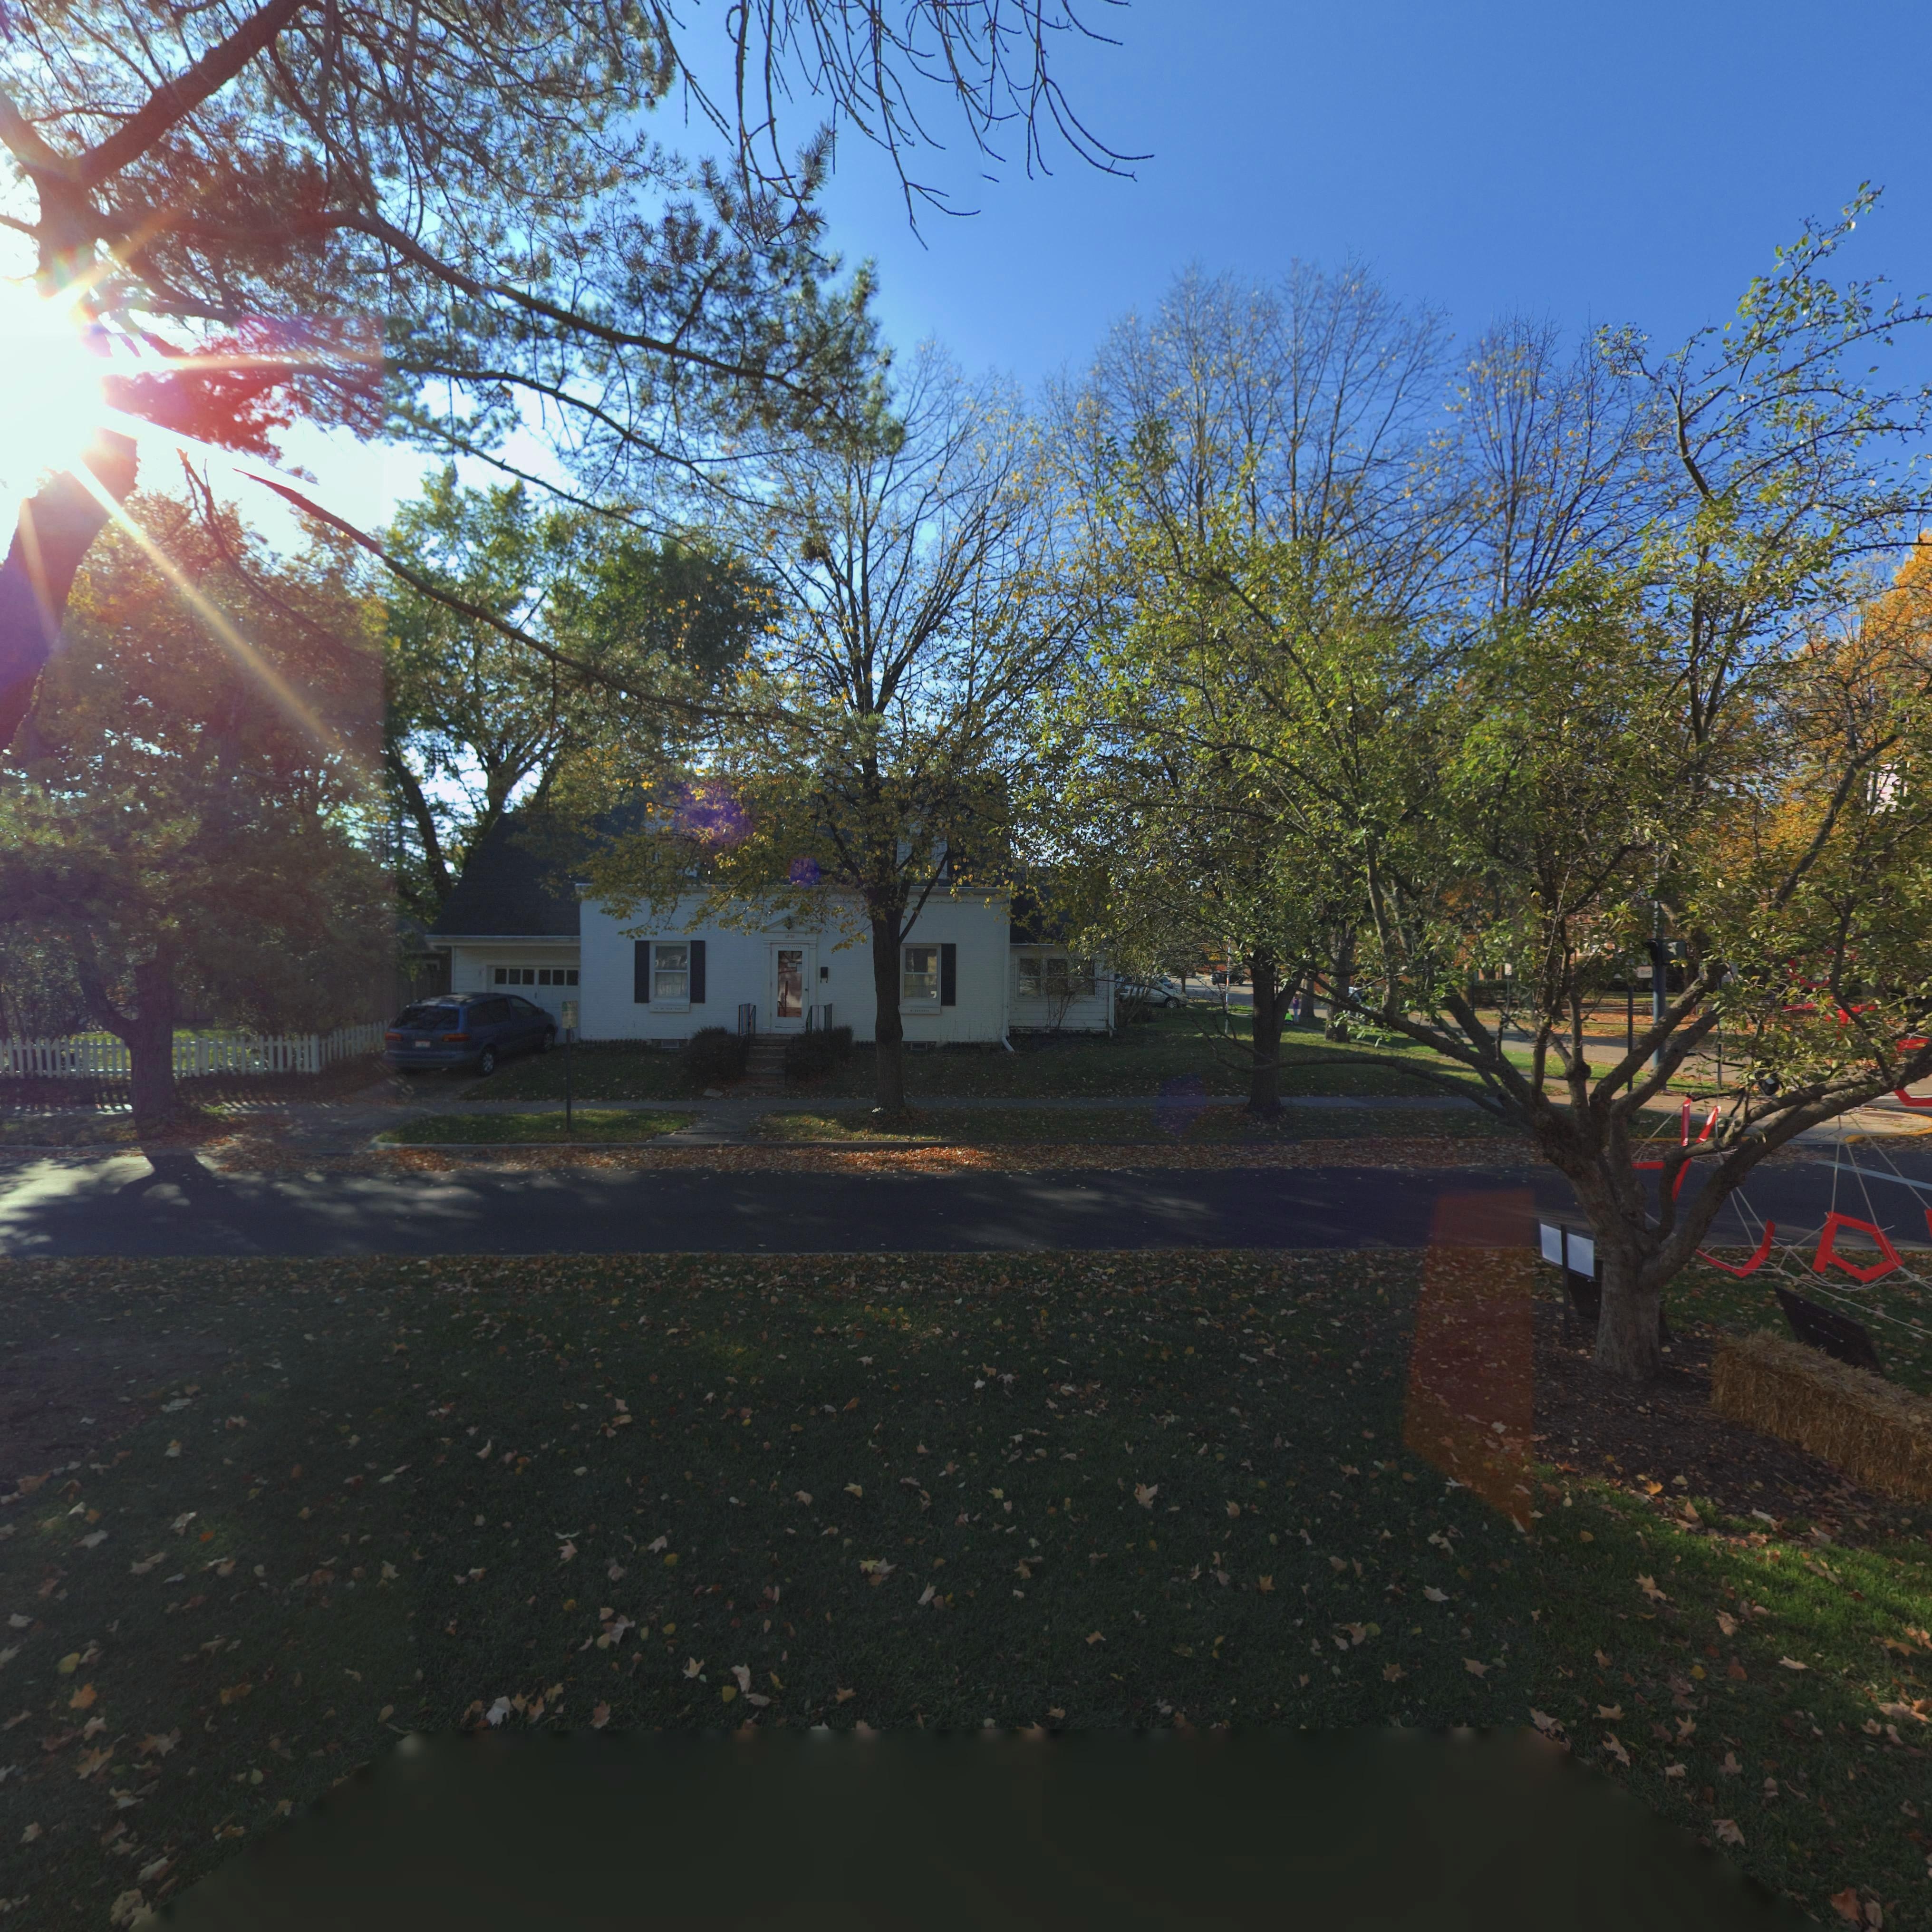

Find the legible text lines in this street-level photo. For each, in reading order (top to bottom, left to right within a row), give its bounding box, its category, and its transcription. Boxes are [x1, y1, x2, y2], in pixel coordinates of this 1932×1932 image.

[784, 934, 795, 939] StreetNumber: 1801